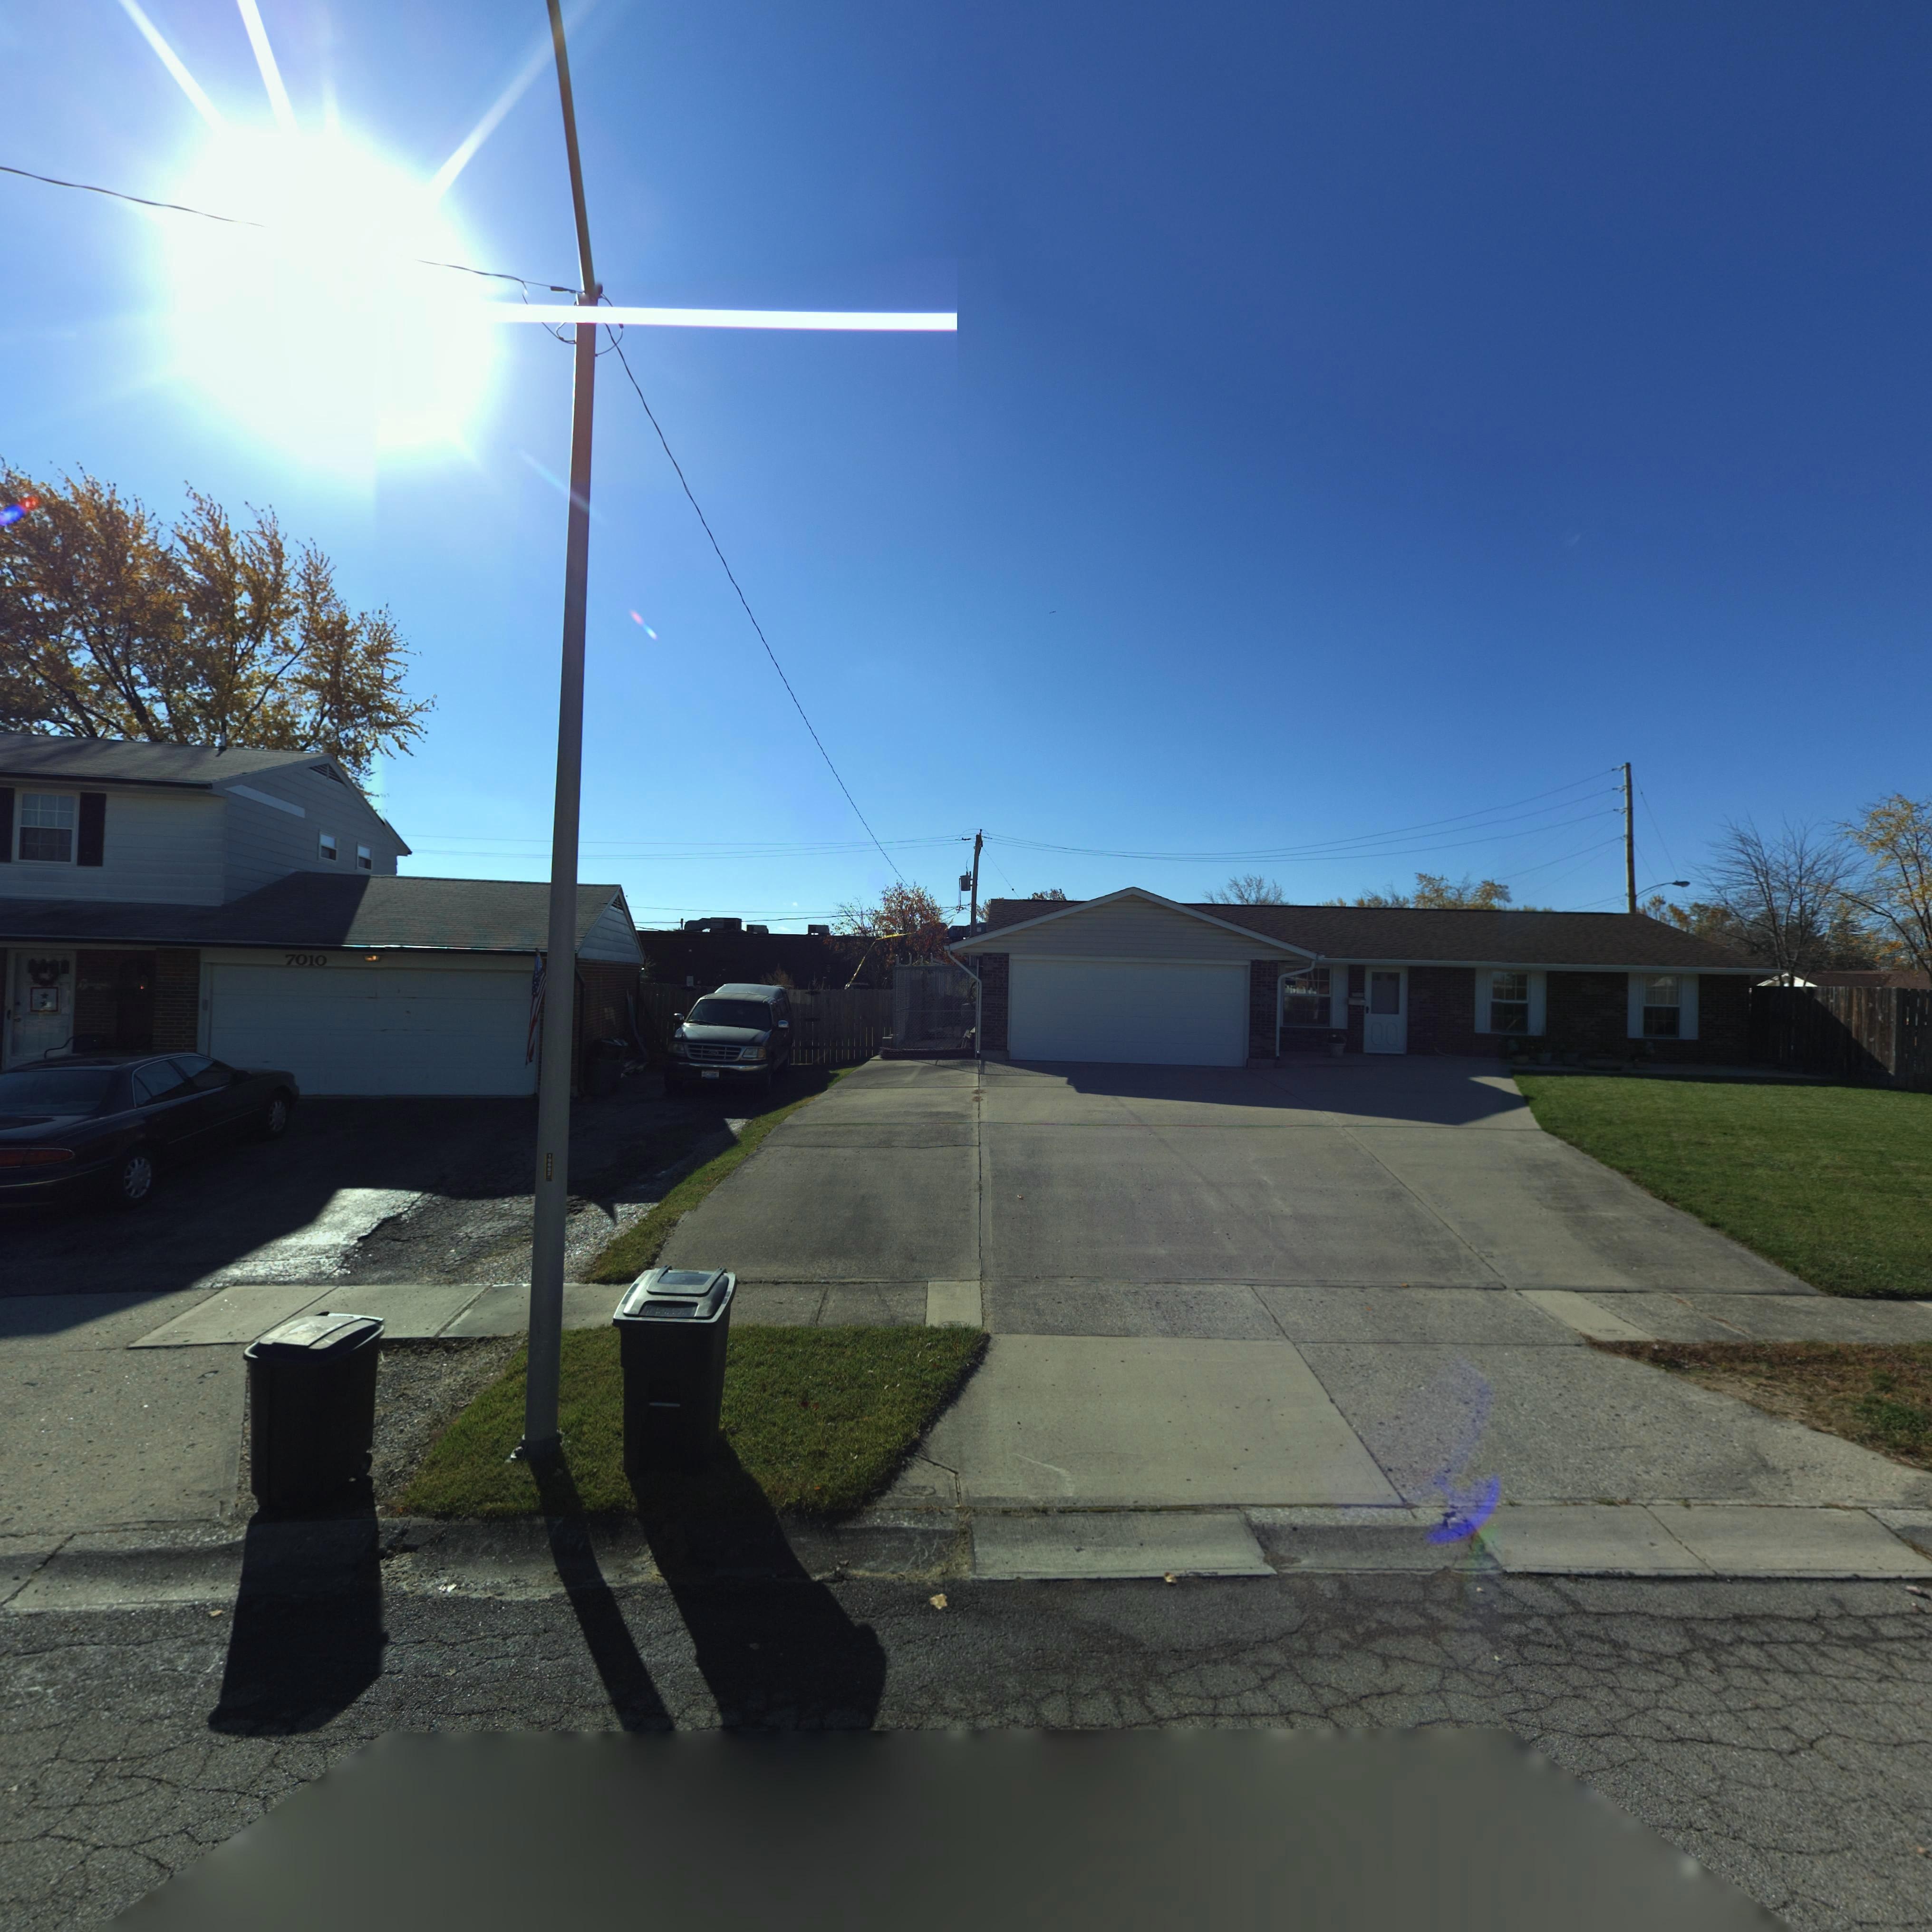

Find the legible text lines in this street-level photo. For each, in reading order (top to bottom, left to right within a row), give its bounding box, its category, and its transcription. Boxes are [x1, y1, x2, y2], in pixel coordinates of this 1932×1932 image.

[284, 953, 328, 967] StreetNumber: 7010
[1352, 992, 1365, 997] StreetNumber: 7000